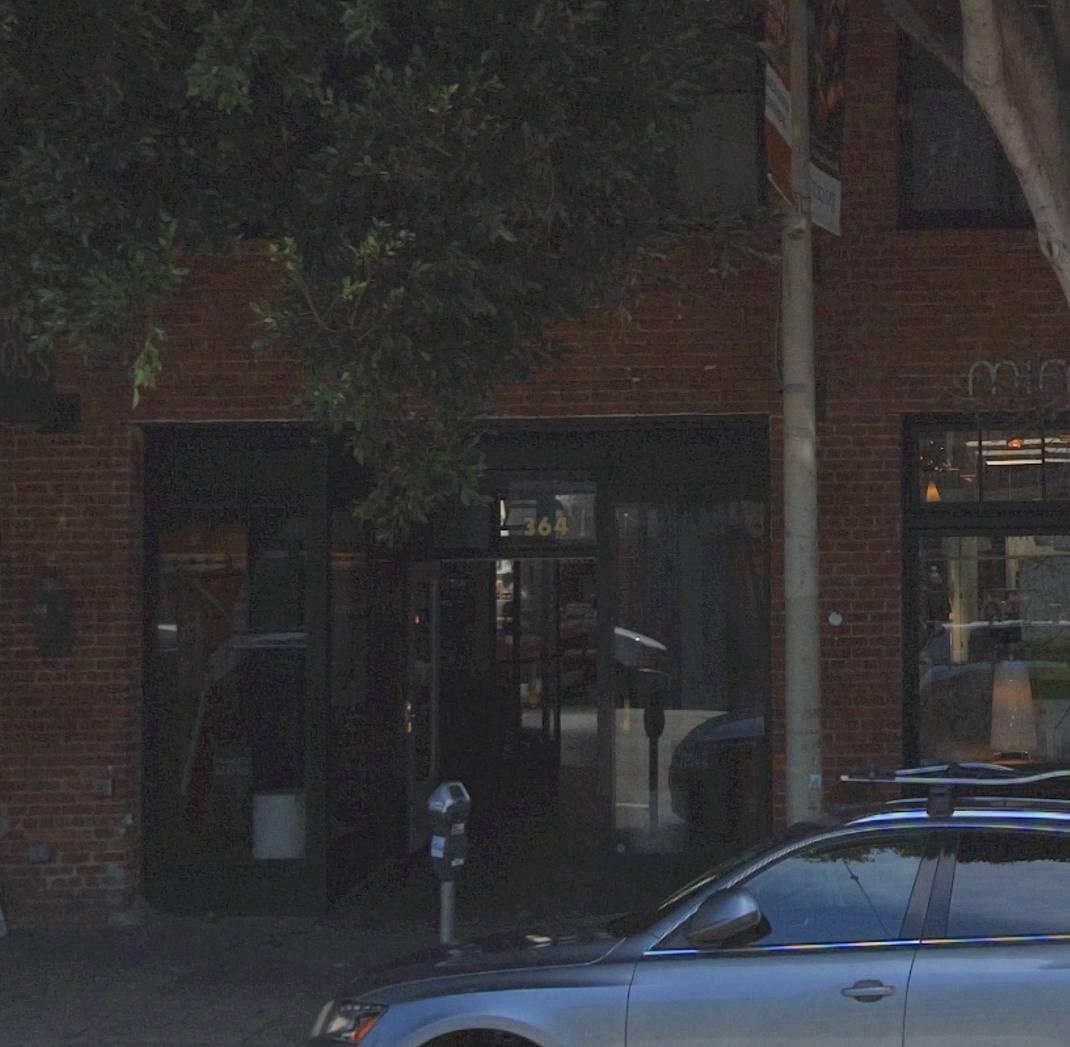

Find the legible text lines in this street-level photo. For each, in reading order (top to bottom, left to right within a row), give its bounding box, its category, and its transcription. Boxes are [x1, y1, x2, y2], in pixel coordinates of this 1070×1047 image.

[523, 515, 570, 537] StreetNumber: 364